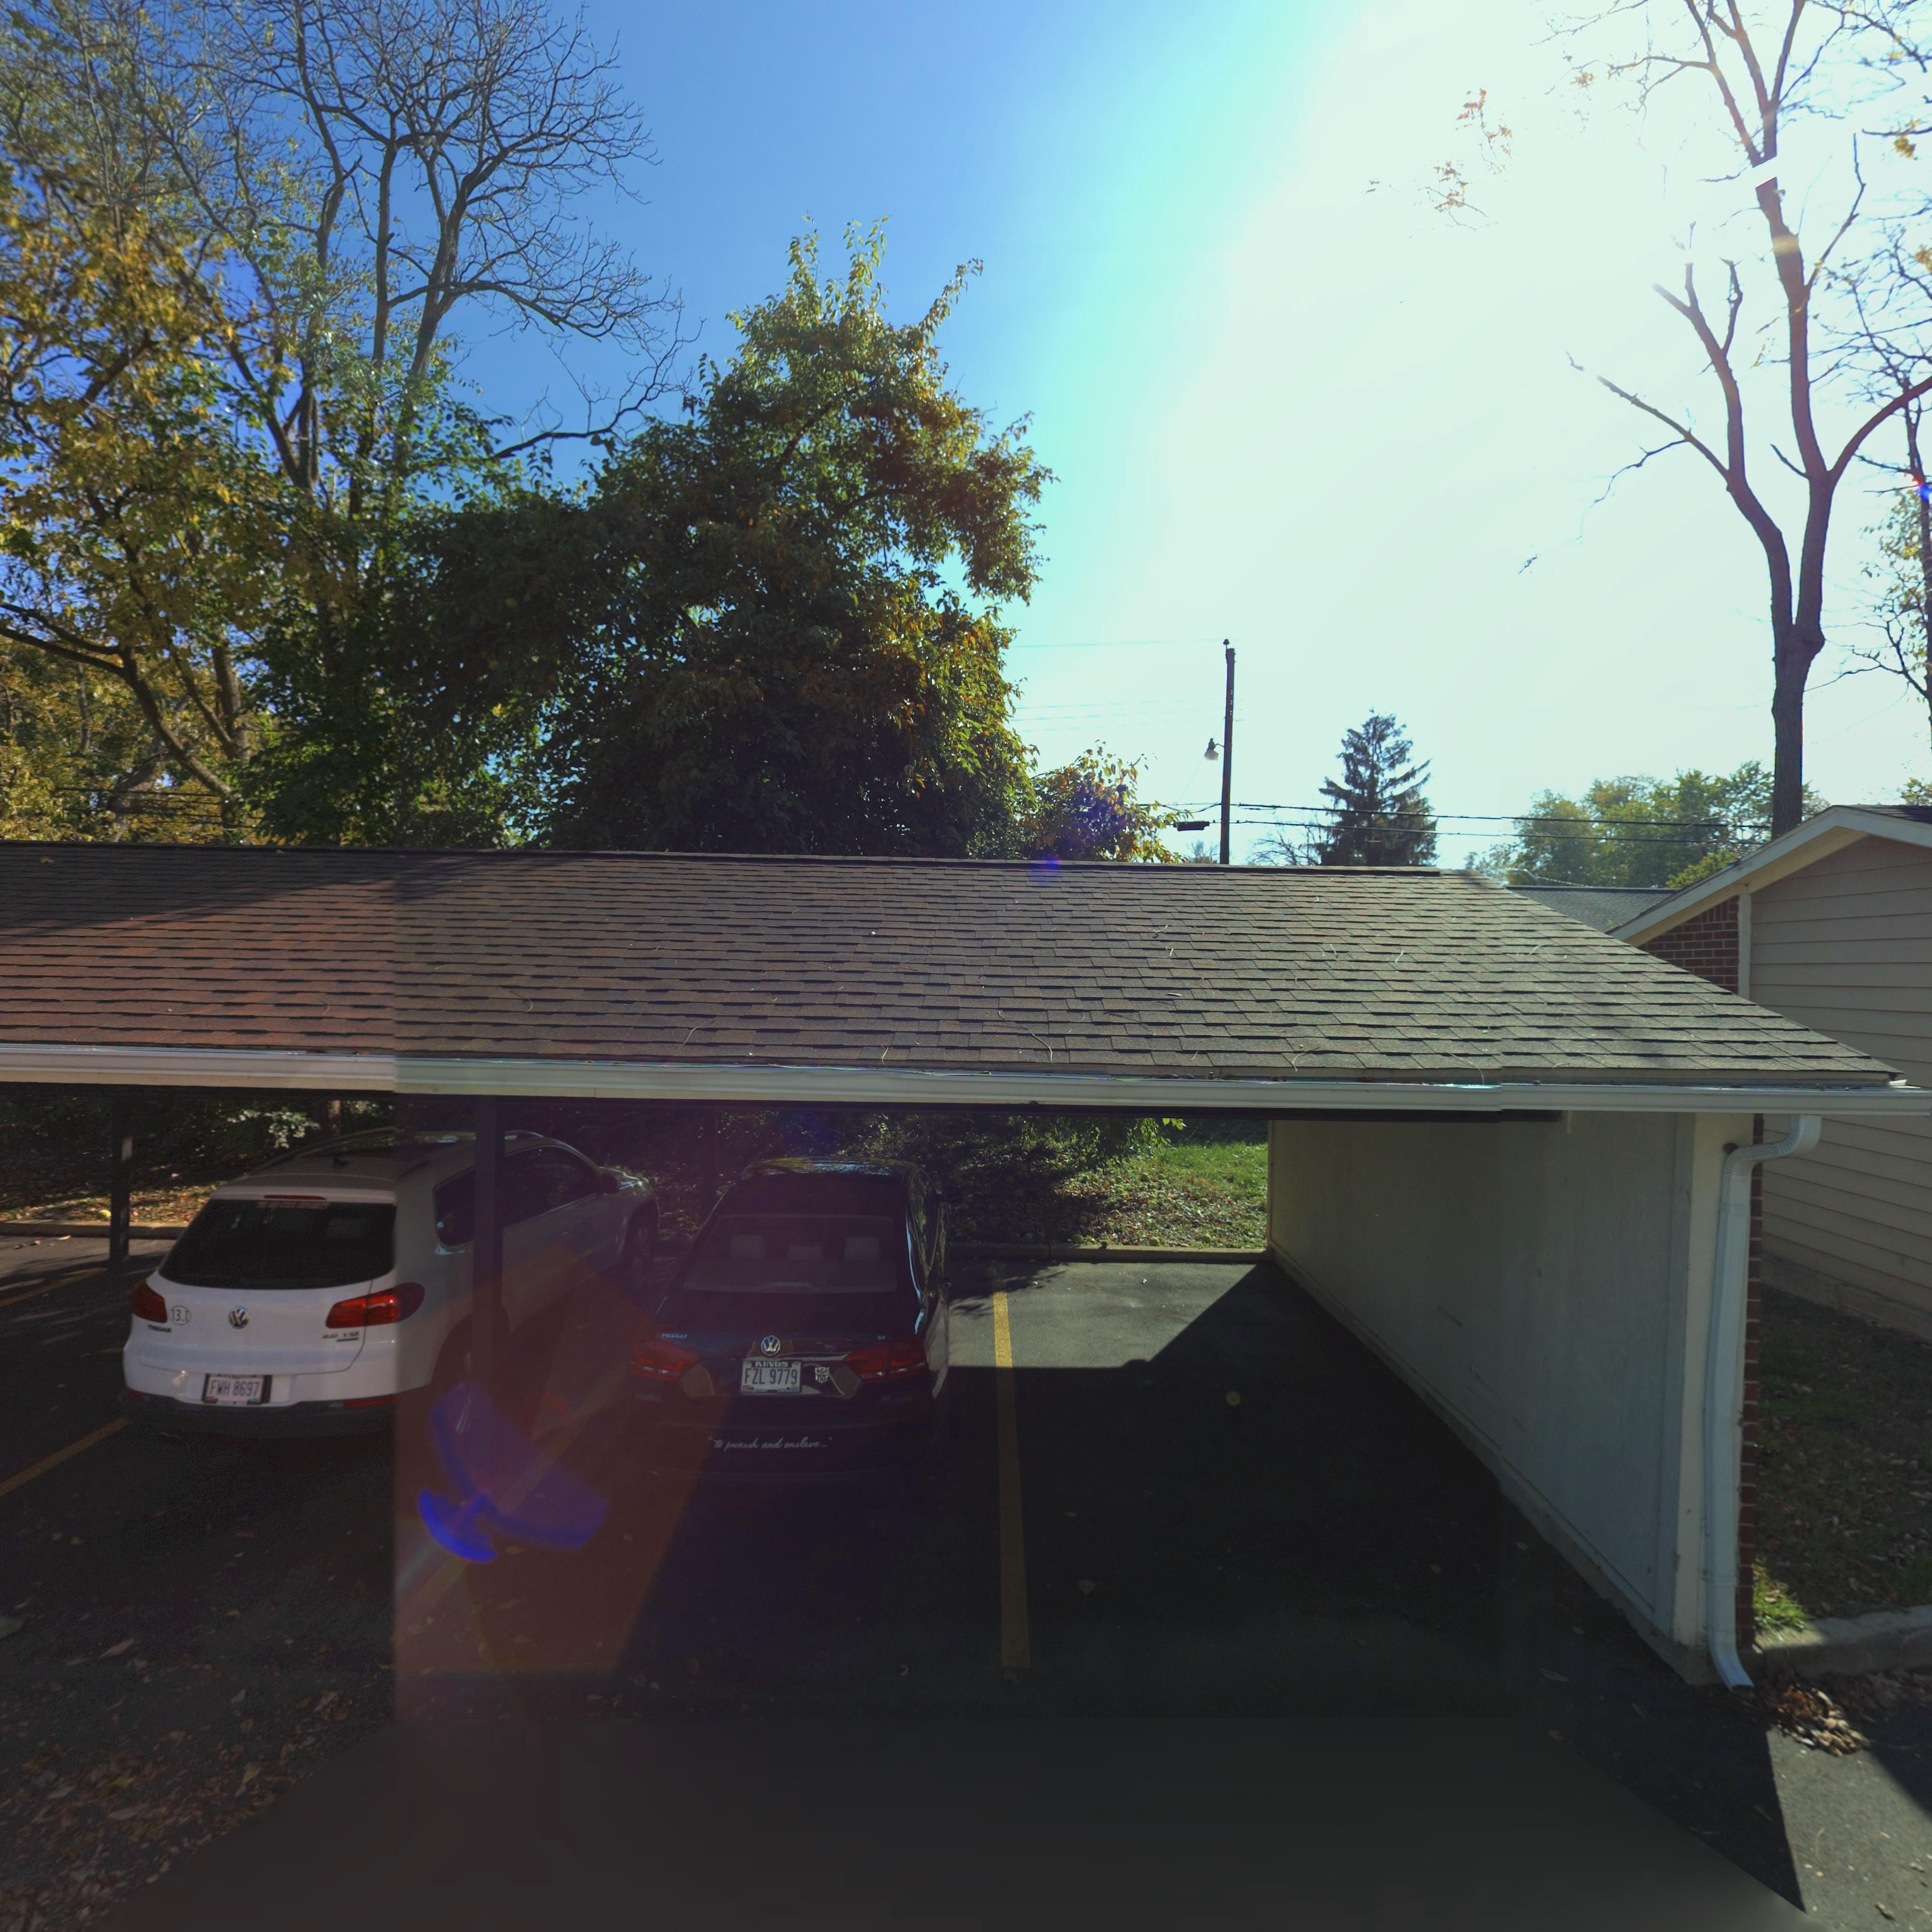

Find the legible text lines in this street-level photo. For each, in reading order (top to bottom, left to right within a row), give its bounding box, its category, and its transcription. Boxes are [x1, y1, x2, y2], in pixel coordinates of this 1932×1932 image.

[171, 1308, 190, 1323] None: 13.1
[661, 1332, 688, 1339] None: PASSAT
[877, 1334, 887, 1340] None: SE
[755, 1360, 789, 1367] None: *IN**
[744, 1367, 798, 1385] None: FZL*9779
[208, 1379, 261, 1397] None: FWH*8697
[713, 1436, 828, 1452] None: to punish and enslave